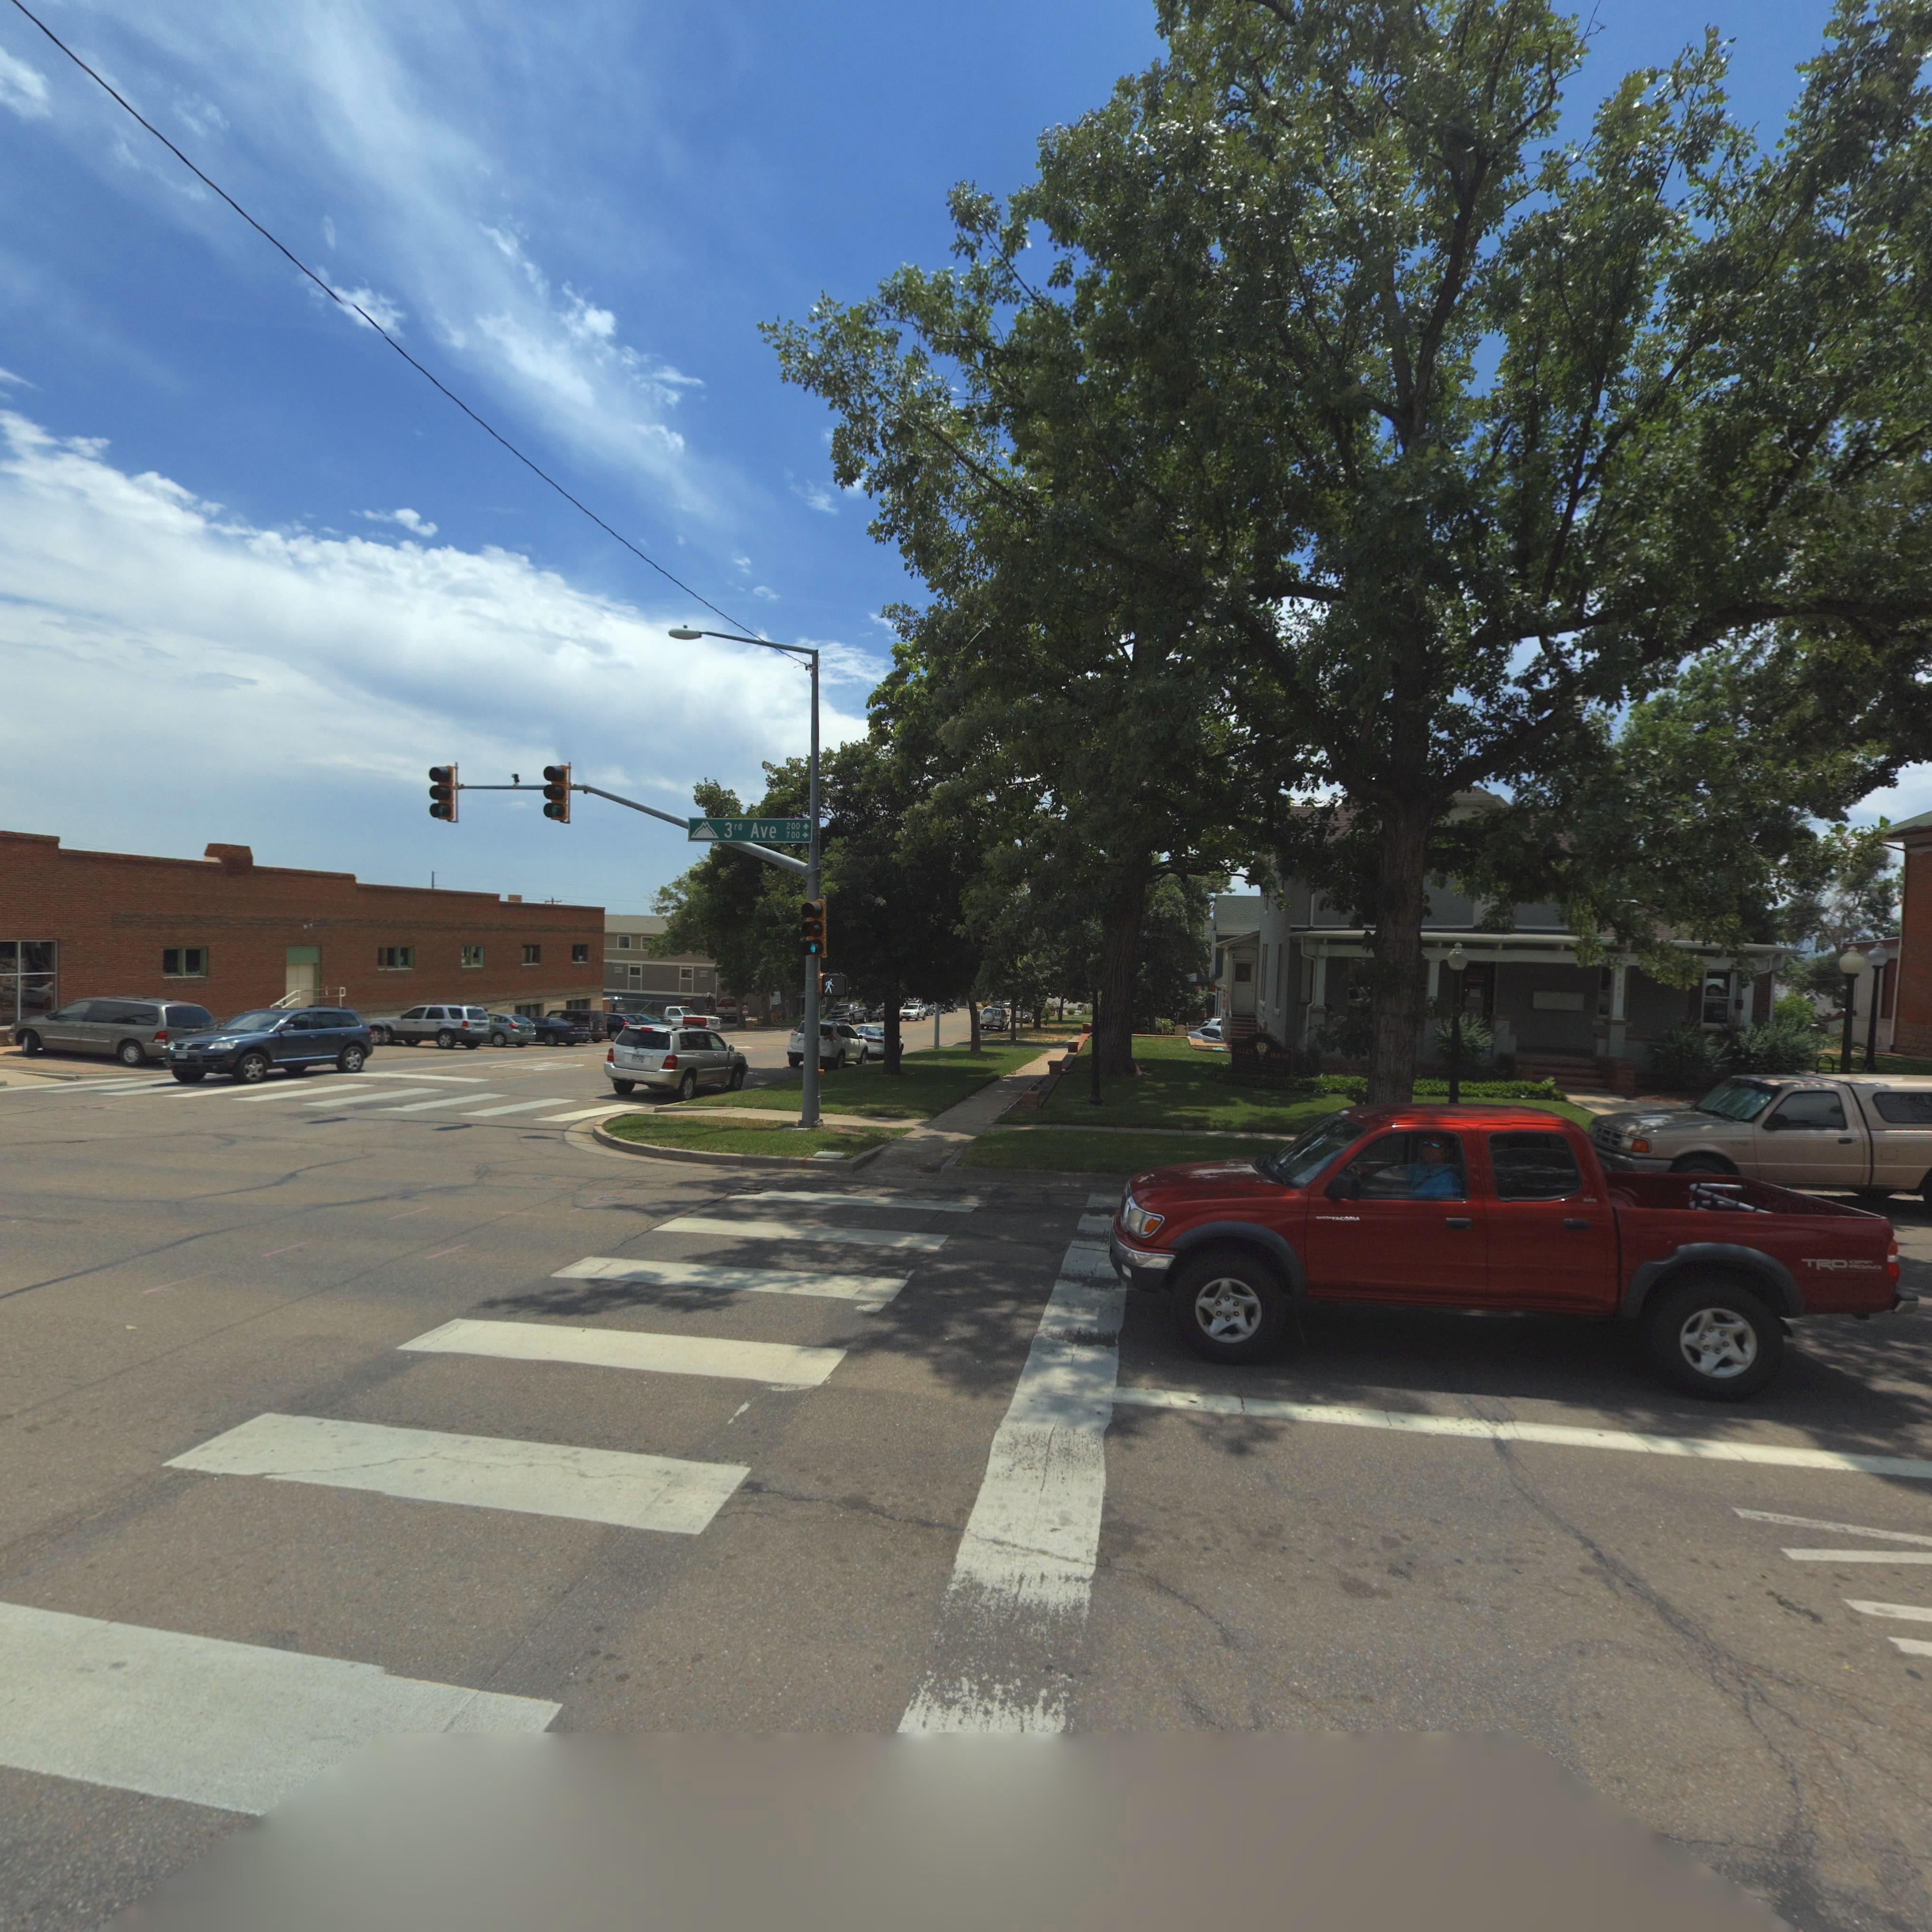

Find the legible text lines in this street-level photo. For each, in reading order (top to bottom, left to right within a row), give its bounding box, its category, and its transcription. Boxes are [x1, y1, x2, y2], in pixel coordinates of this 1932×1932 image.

[786, 821, 800, 830] StreetNumberRange: 200
[723, 821, 777, 839] StreetName: 3rd Ave
[785, 831, 810, 839] StreetNumberRange: 700->